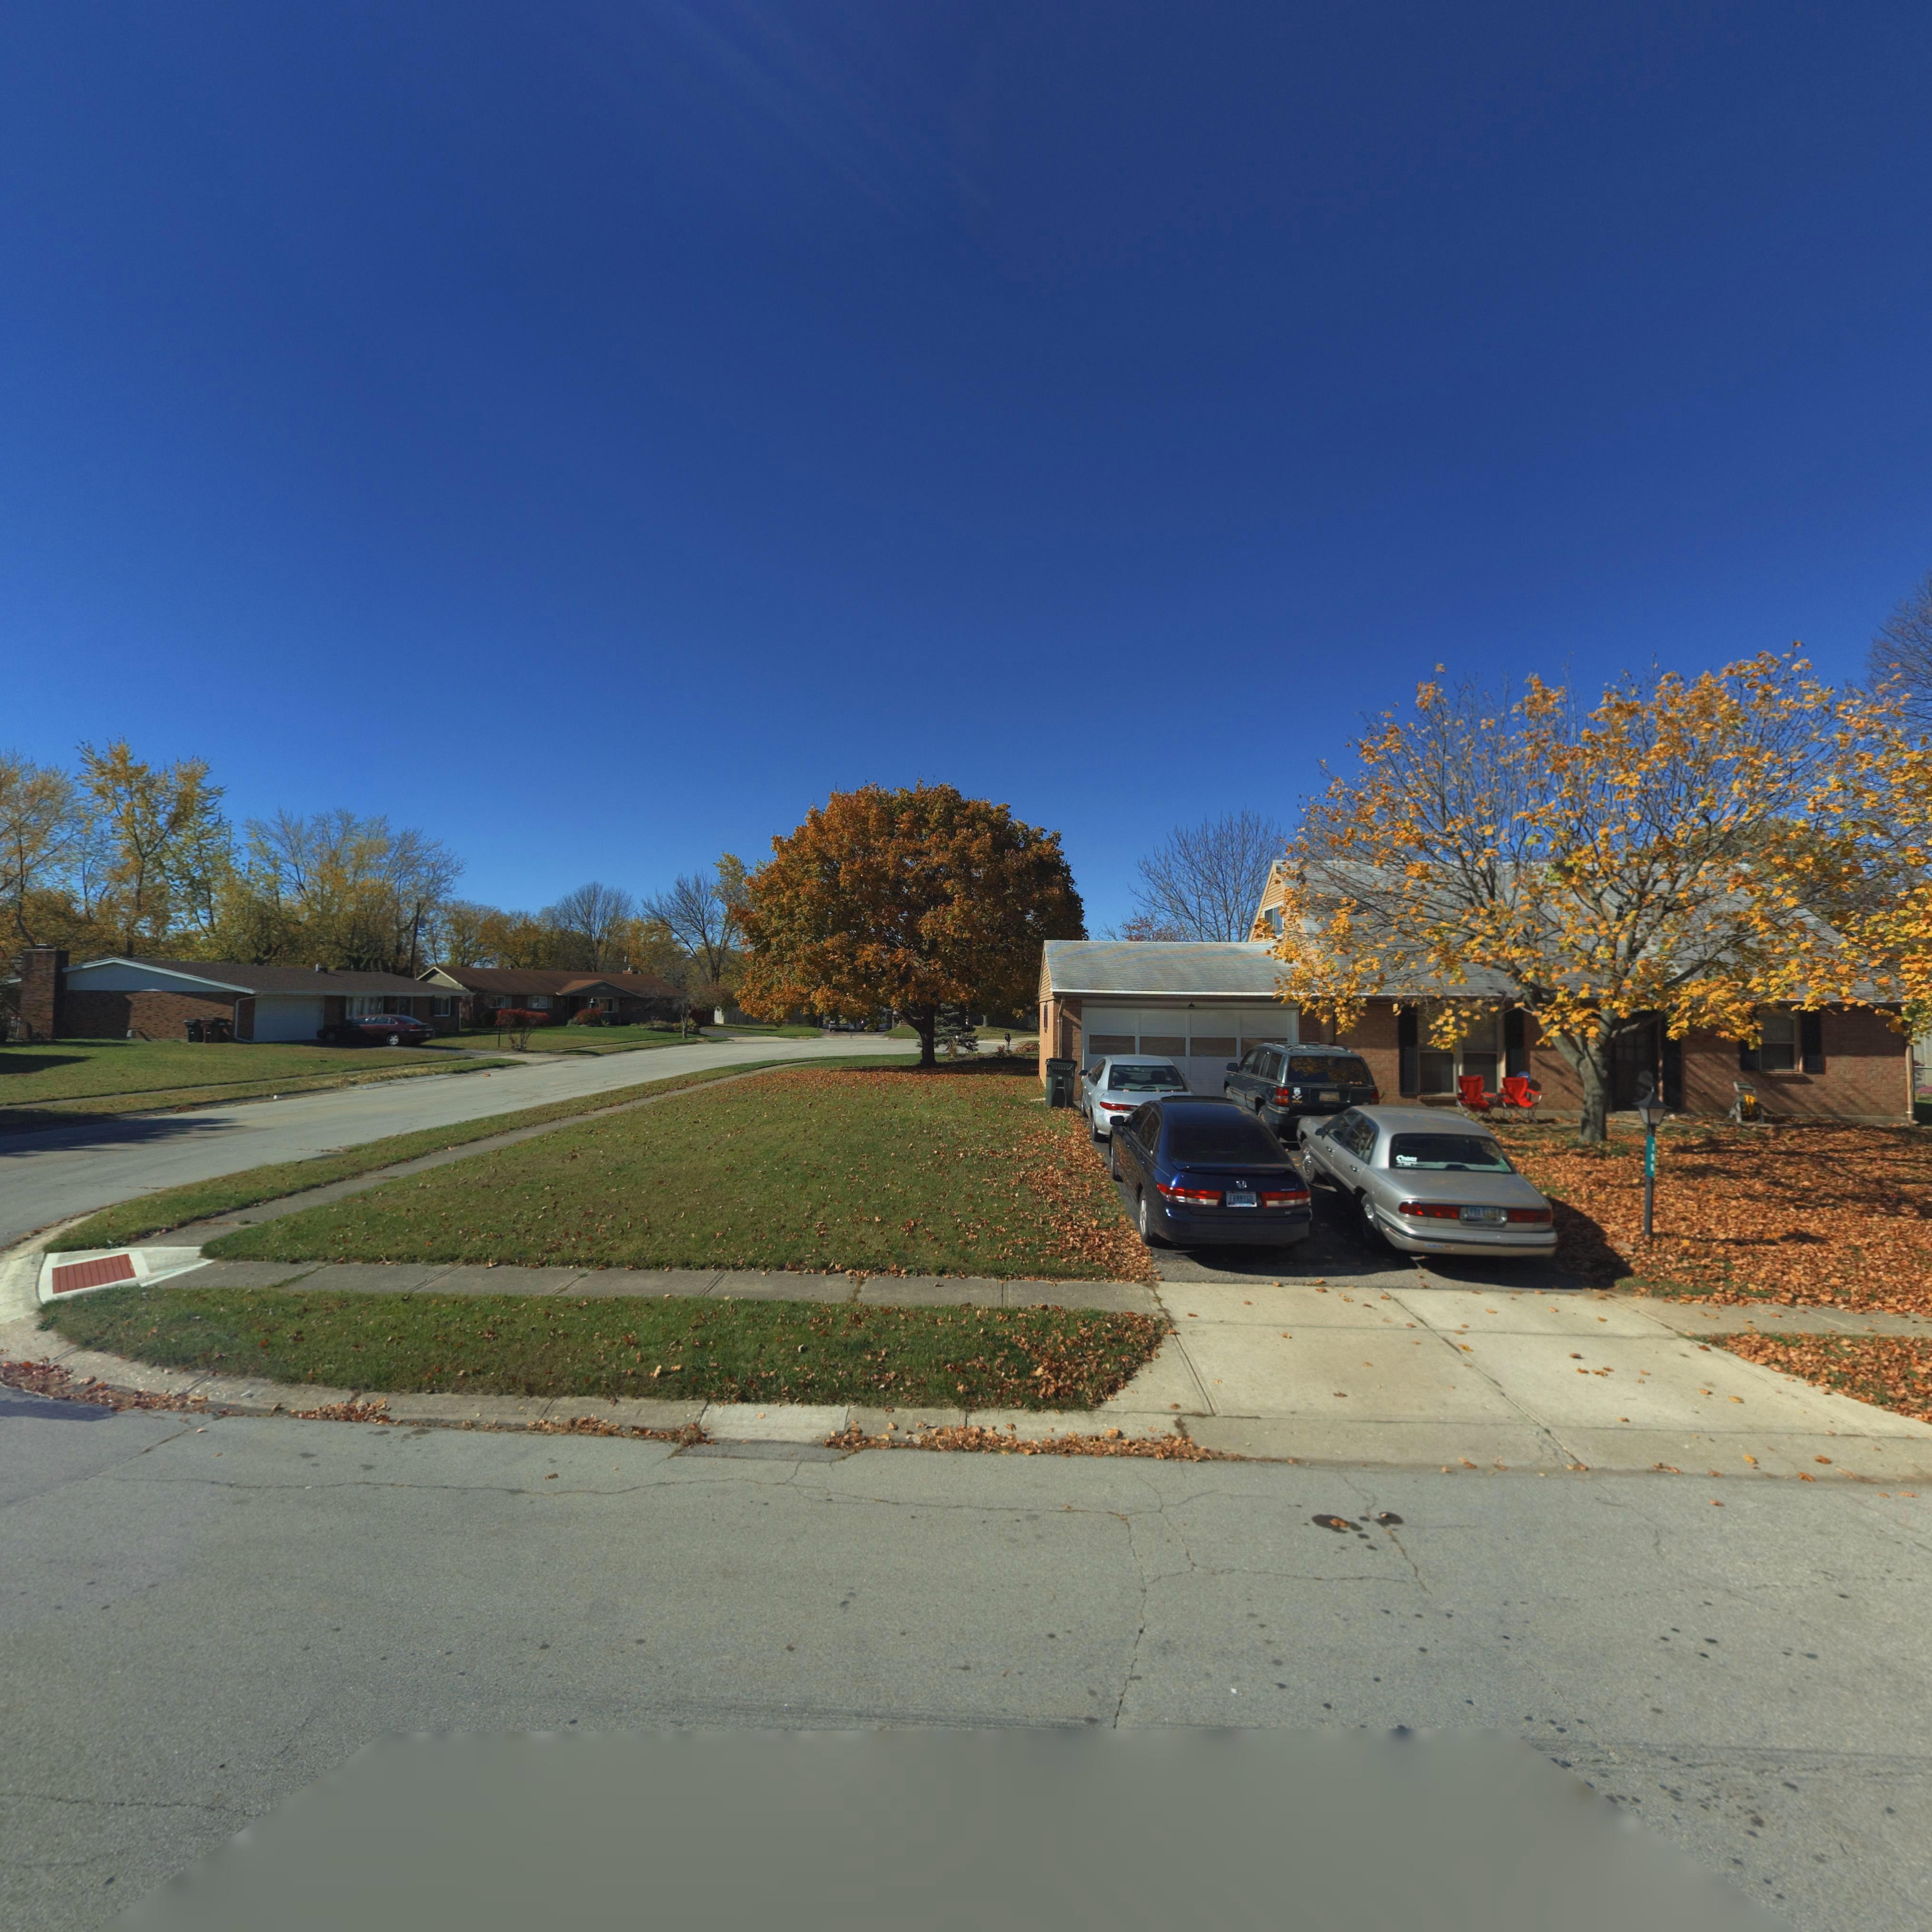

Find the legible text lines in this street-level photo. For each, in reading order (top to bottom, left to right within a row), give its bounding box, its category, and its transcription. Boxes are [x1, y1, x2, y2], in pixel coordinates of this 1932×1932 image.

[1649, 1142, 1655, 1173] StreetNumber: 1**